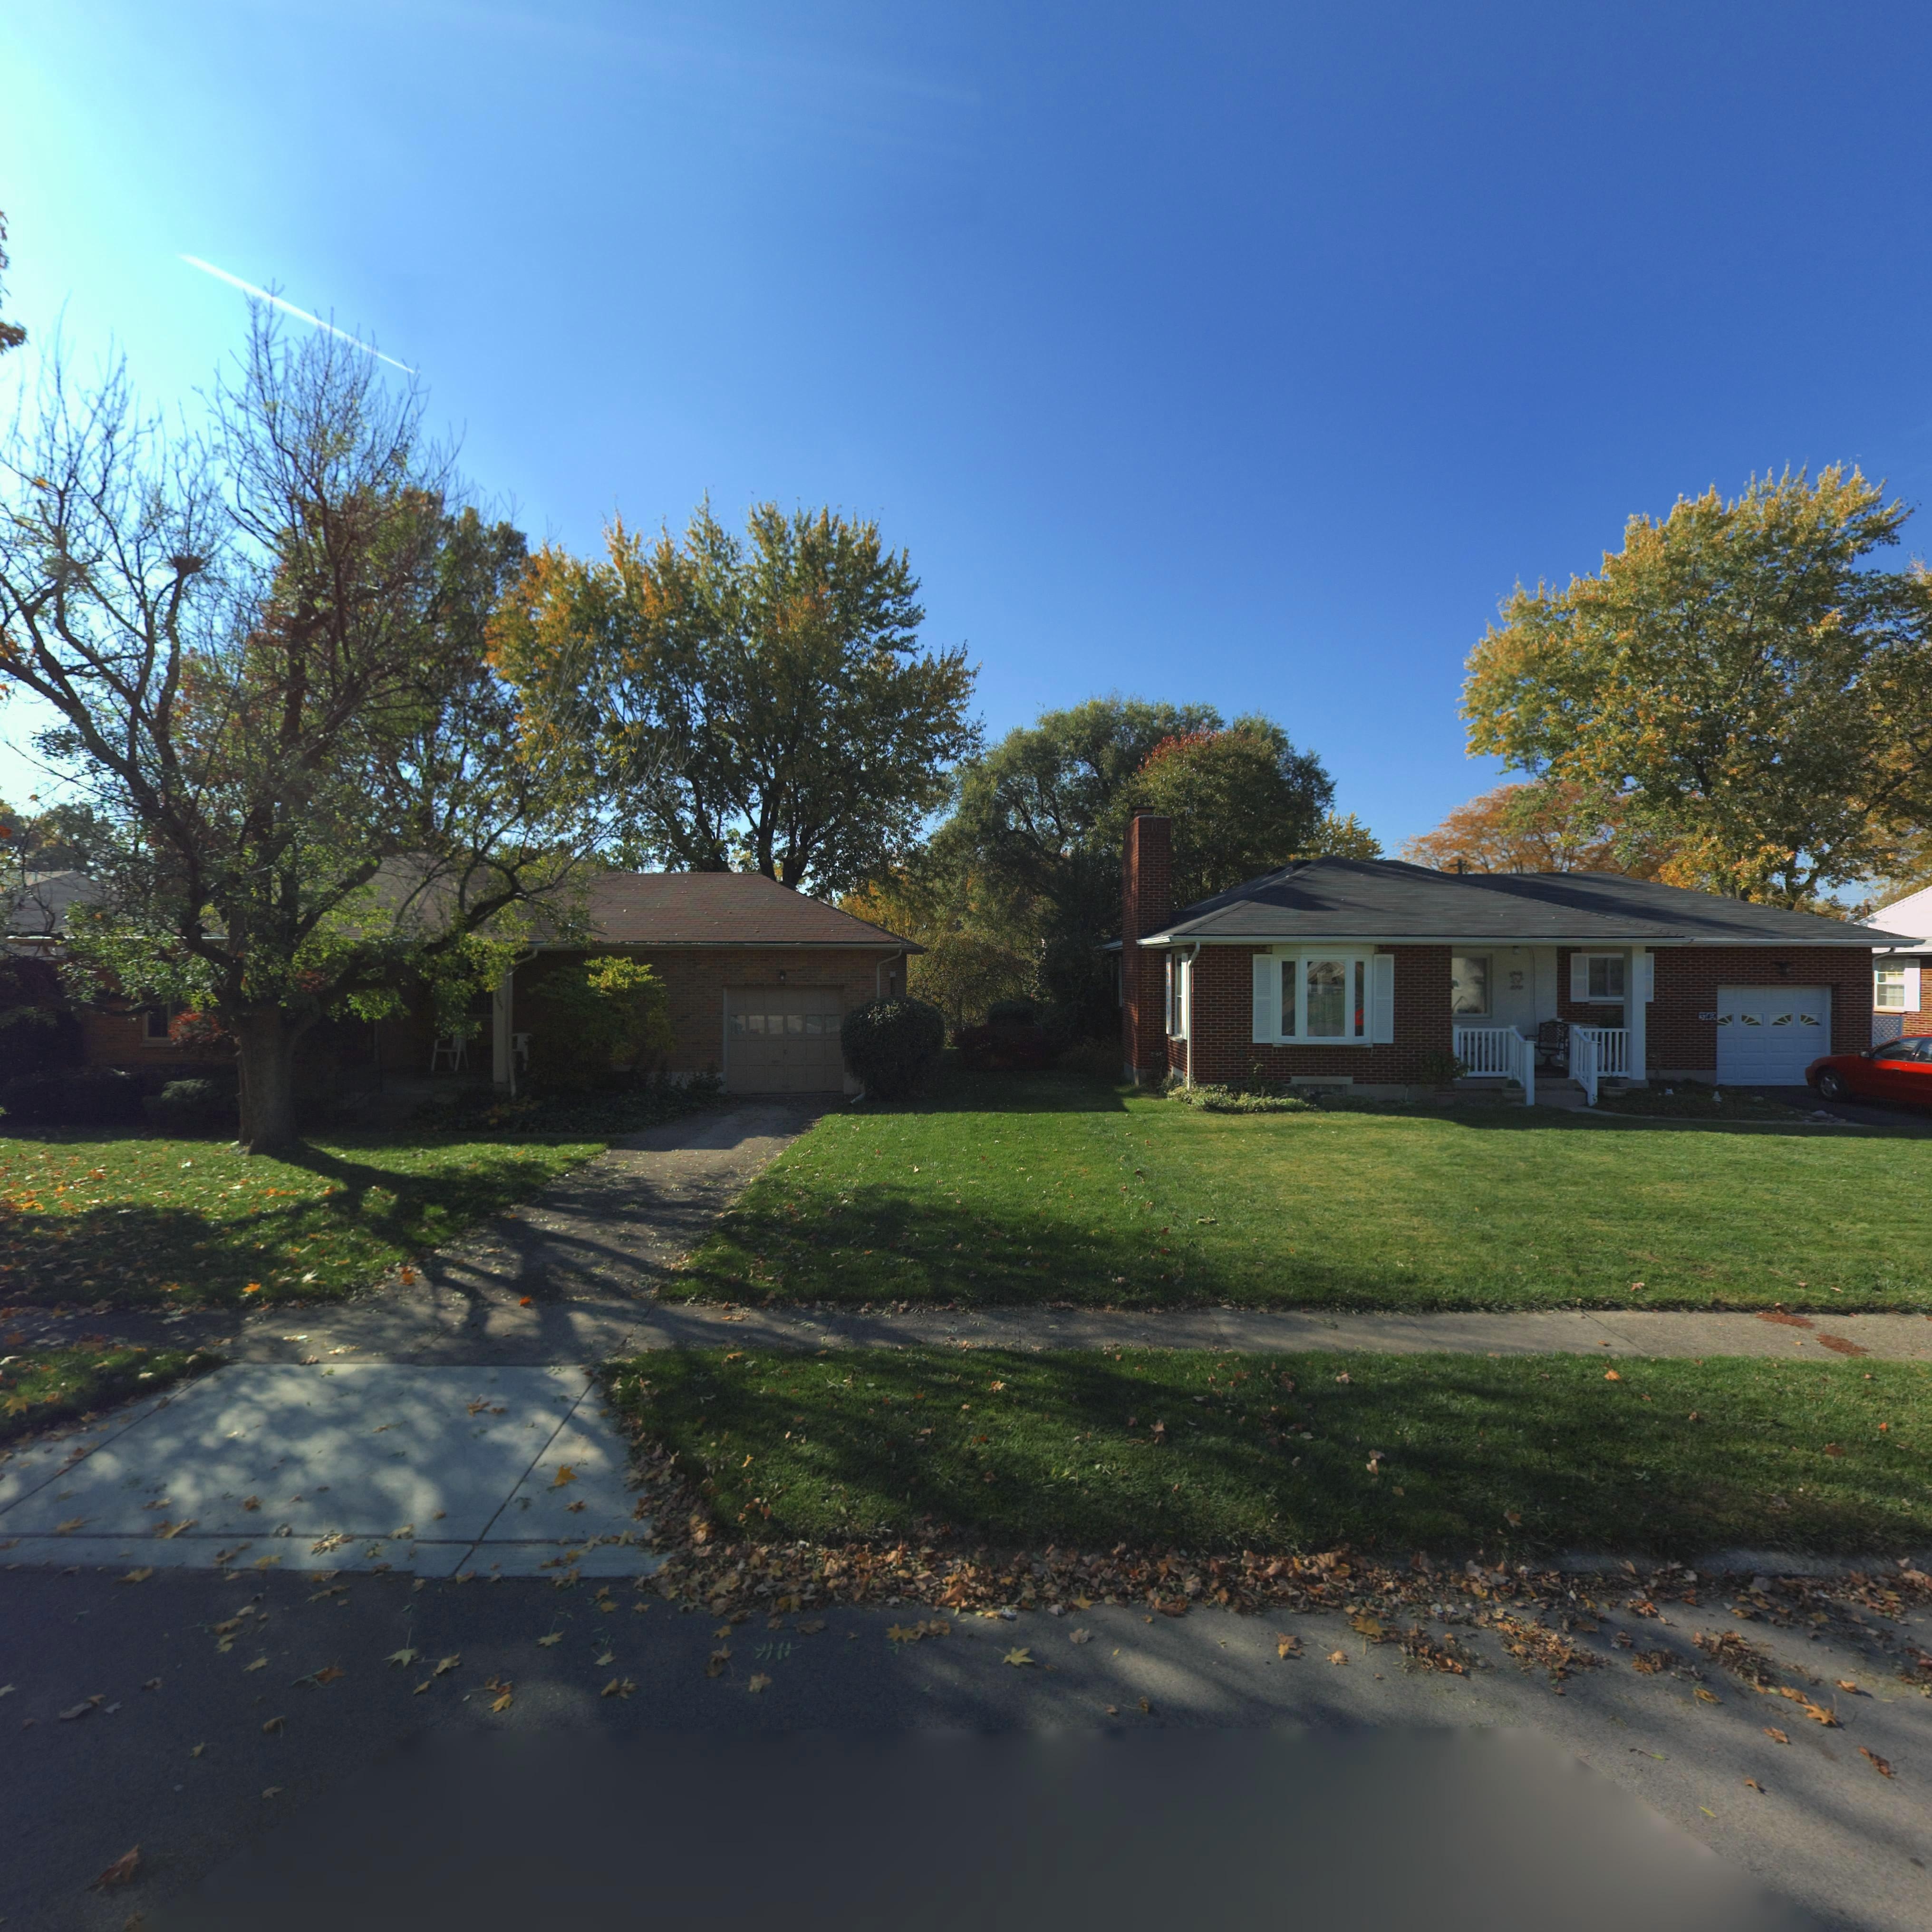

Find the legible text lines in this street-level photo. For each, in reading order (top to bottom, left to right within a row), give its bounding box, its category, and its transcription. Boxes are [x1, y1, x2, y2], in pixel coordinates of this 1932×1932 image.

[1699, 1012, 1715, 1021] StreetNumber: 374*